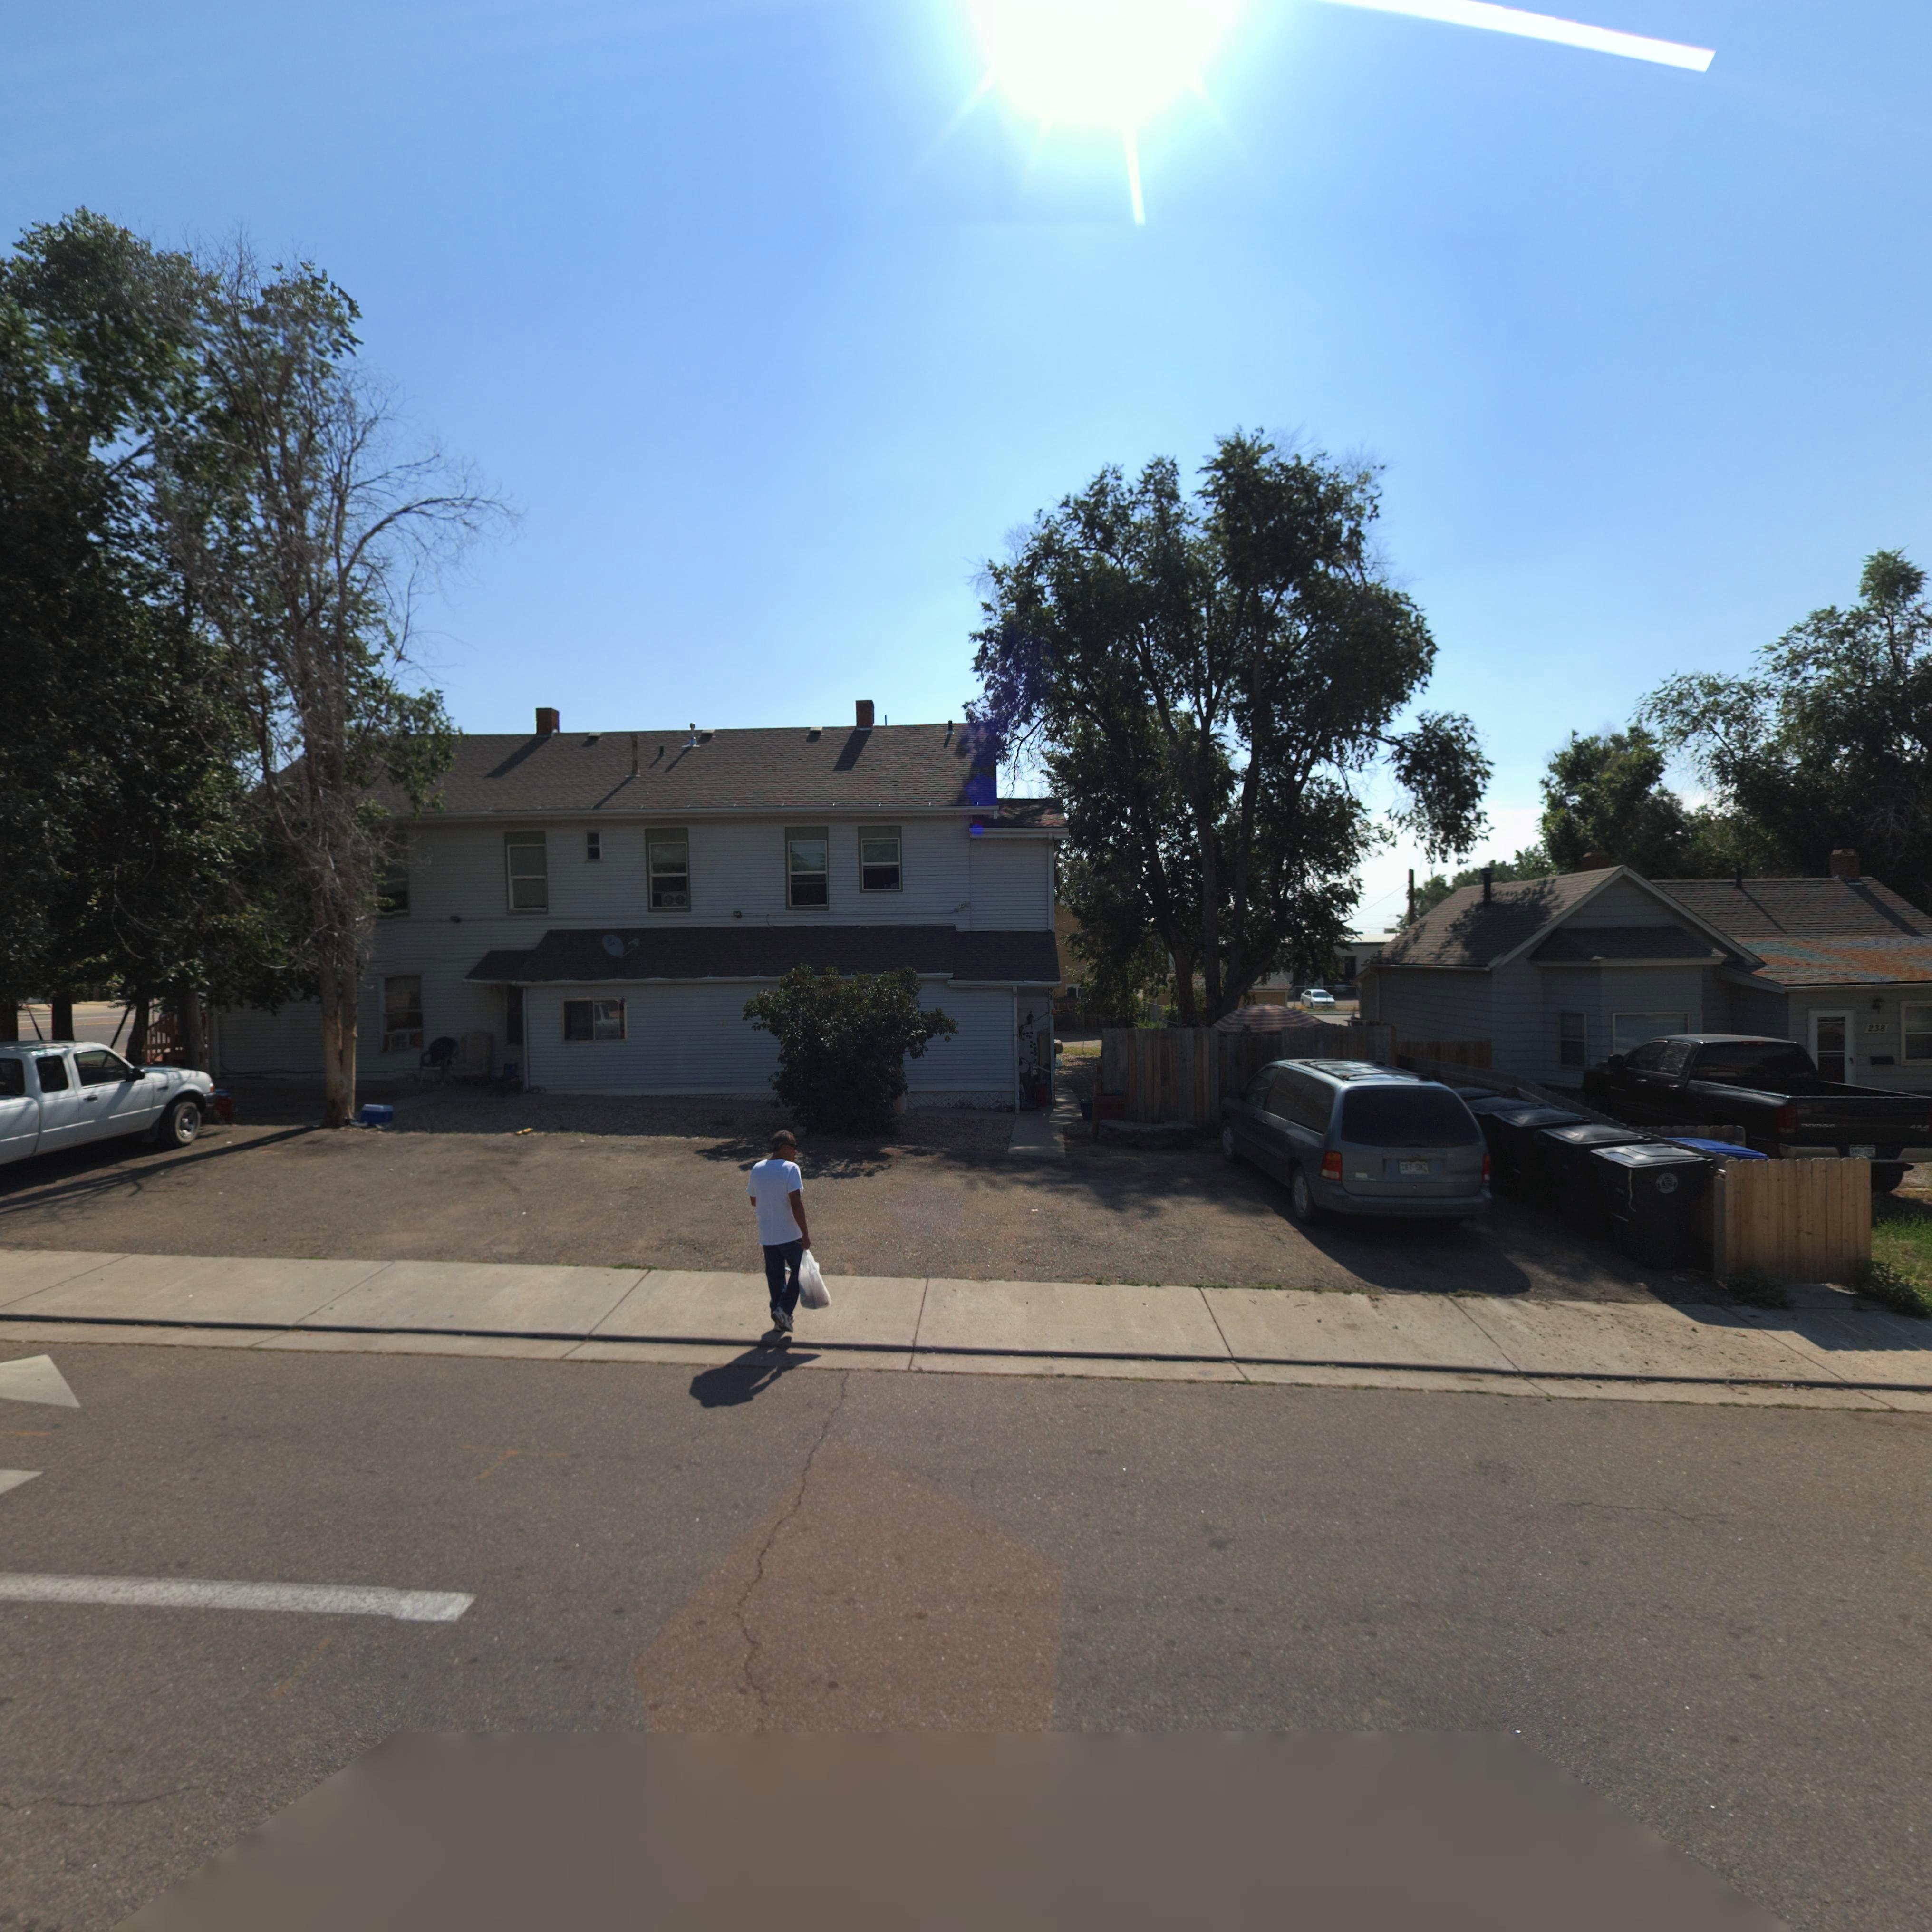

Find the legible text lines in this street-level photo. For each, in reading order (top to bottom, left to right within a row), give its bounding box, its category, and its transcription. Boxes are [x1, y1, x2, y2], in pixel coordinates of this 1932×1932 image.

[1867, 1024, 1885, 1031] StreetNumber: 238